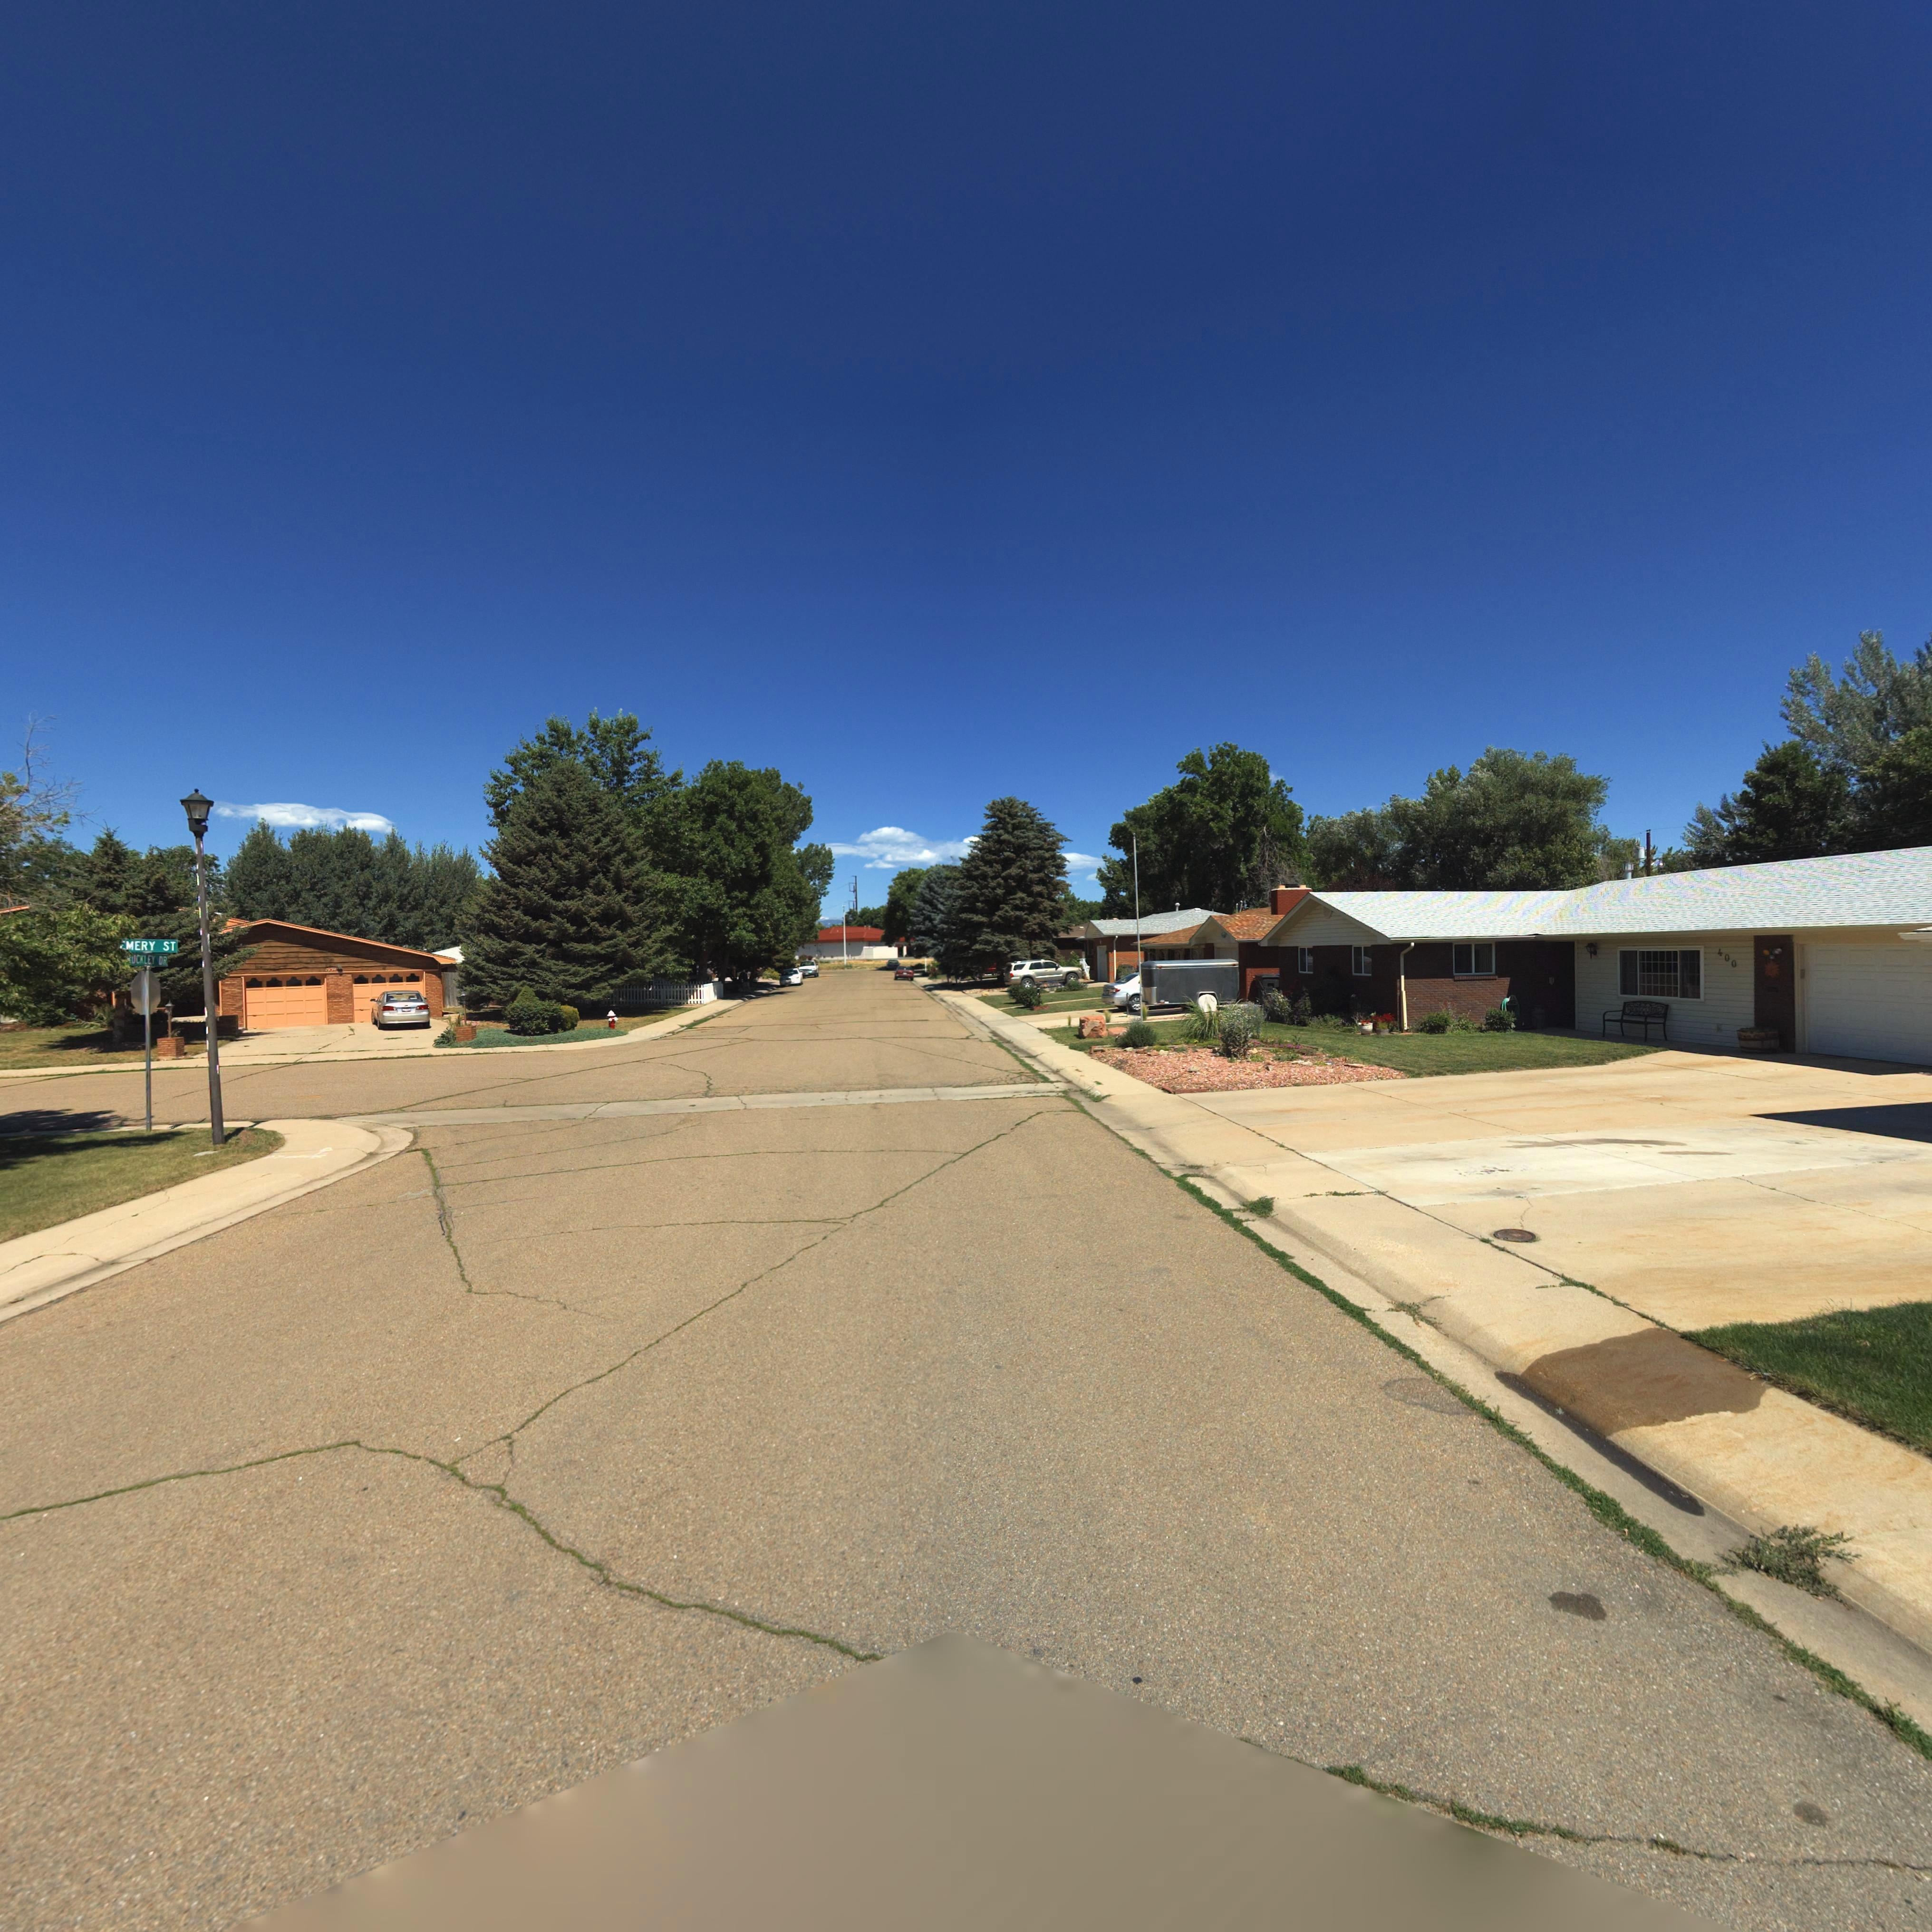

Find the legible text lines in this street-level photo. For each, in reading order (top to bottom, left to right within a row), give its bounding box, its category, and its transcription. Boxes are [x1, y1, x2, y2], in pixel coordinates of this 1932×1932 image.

[117, 939, 176, 951] StreetName: *MERY ST
[129, 953, 167, 966] StreetName: *UCKLEY DR
[1717, 947, 1737, 968] StreetNumber: 400
[324, 967, 336, 972] StreetNumber: **34